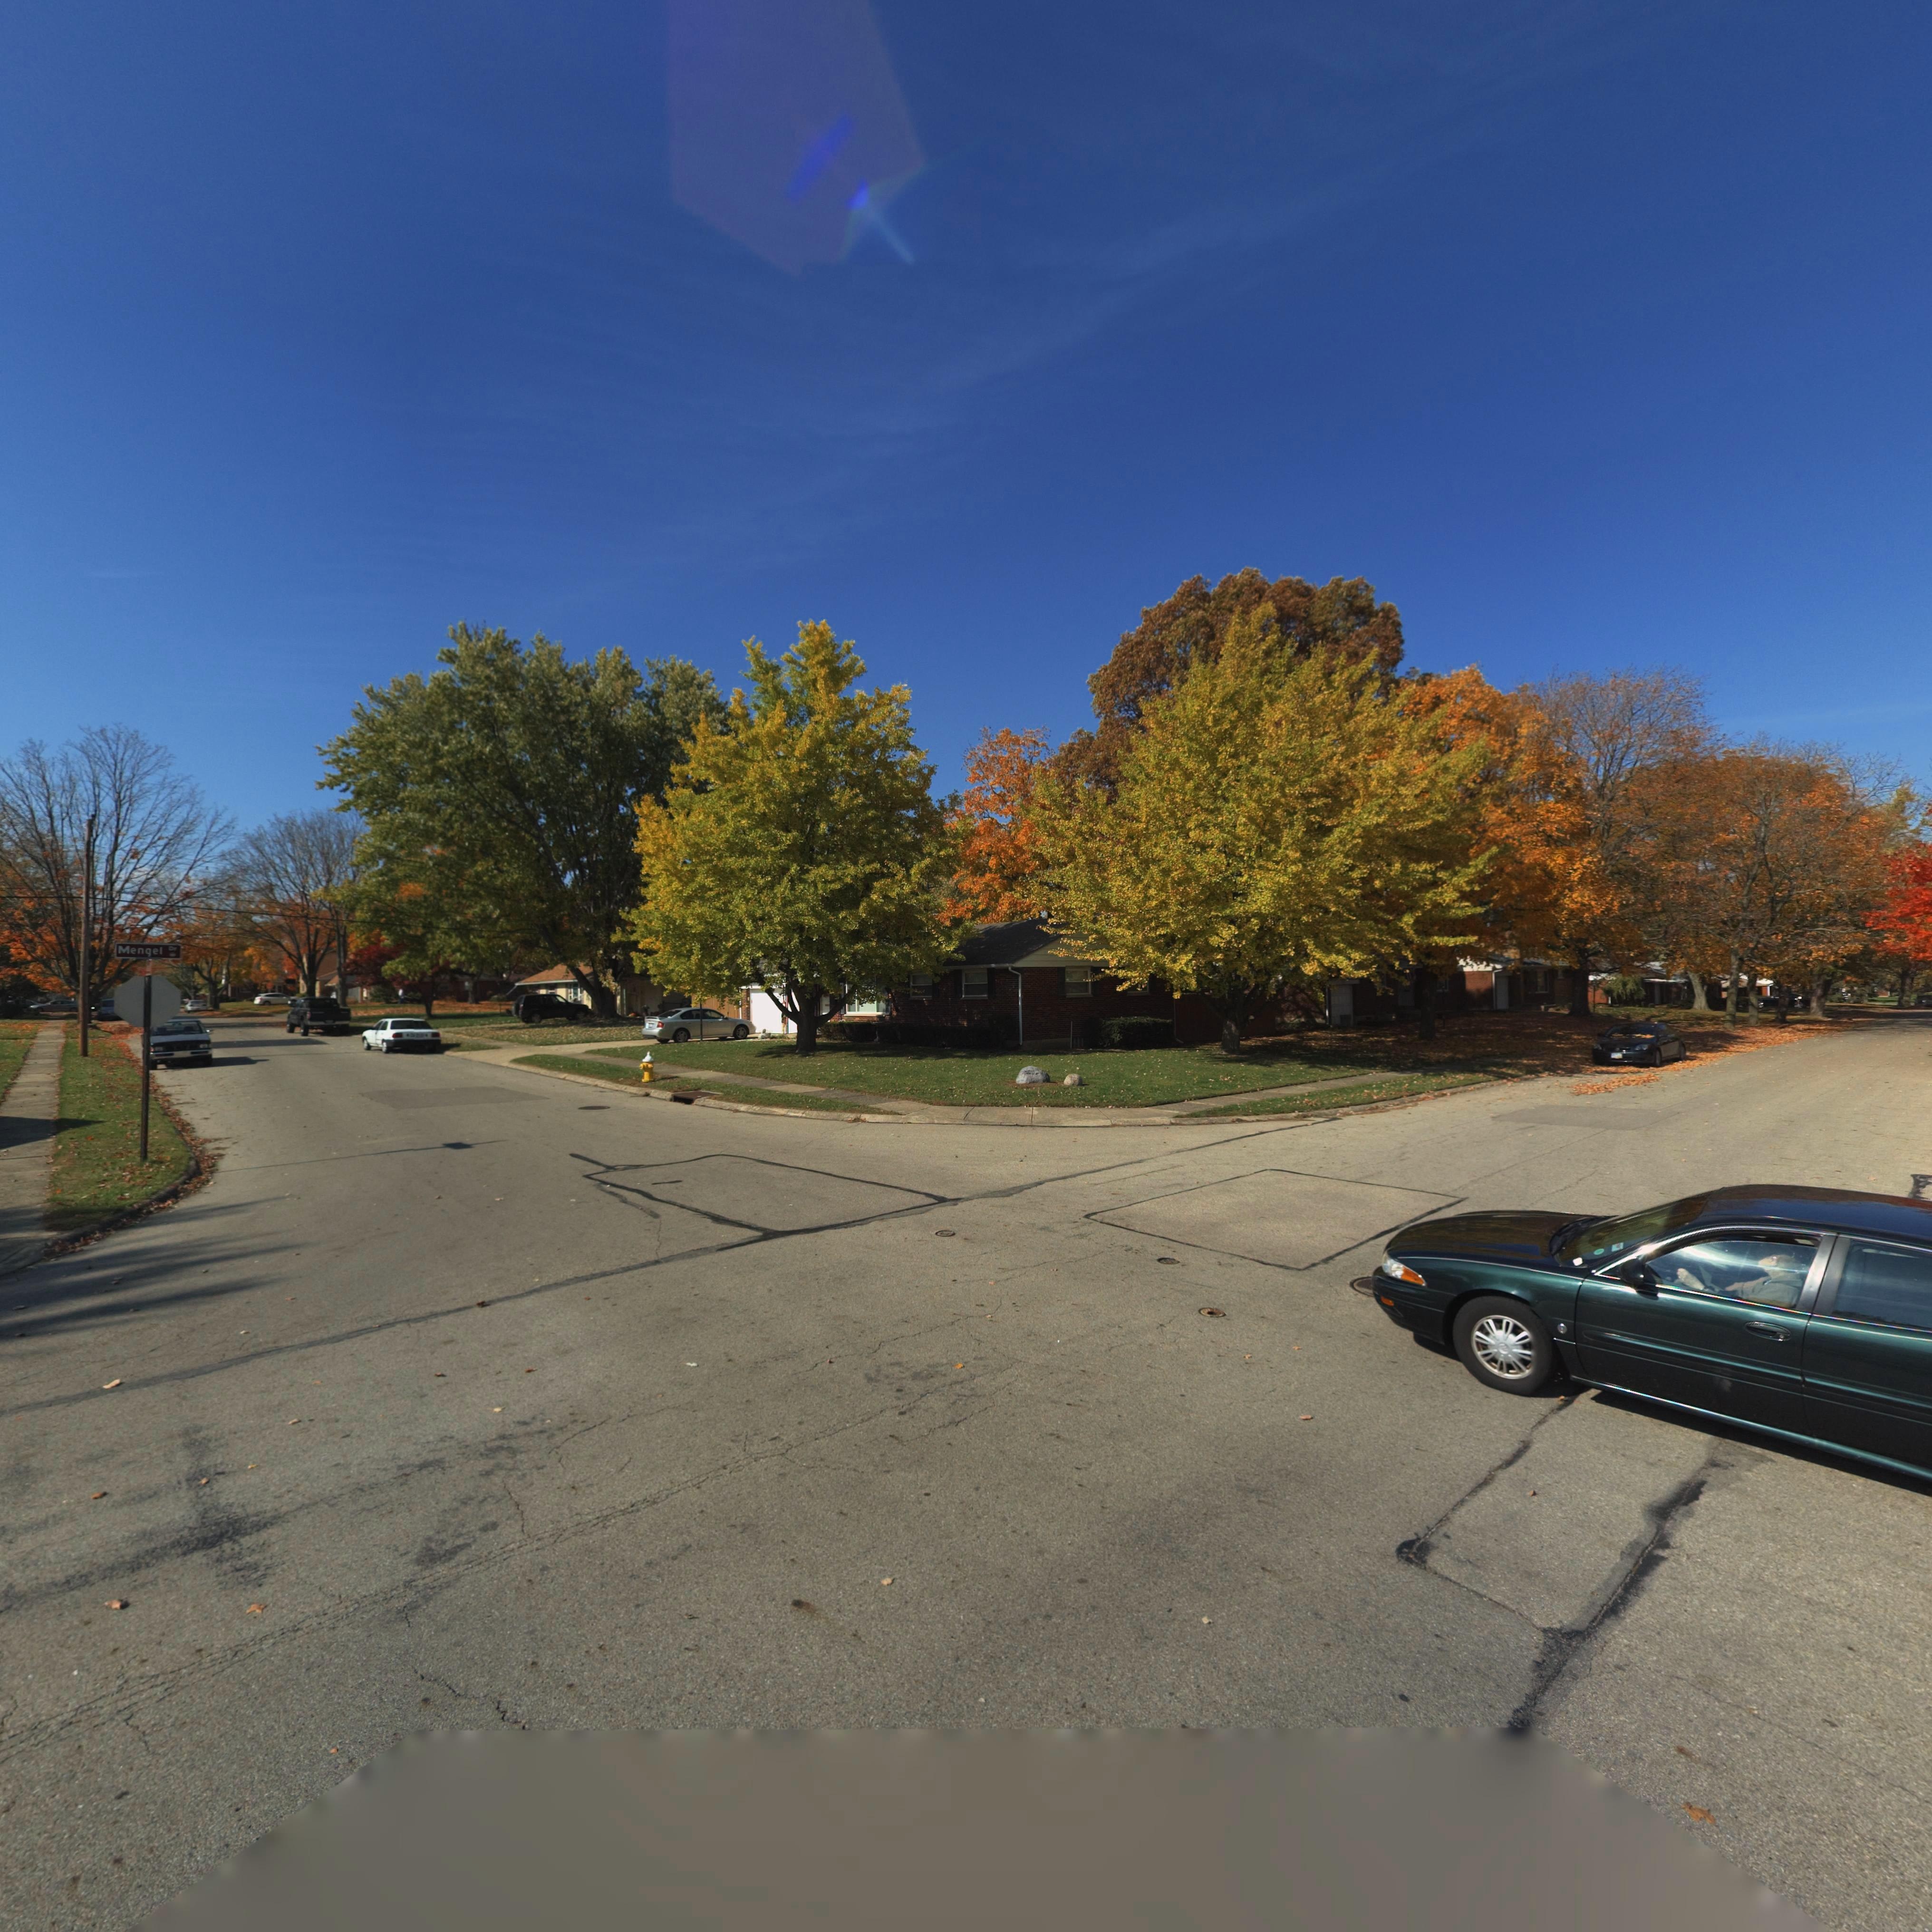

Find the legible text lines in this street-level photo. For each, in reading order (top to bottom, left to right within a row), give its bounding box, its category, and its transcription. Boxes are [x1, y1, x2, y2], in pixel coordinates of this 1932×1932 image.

[116, 943, 179, 958] StreetName: Mengel Dr